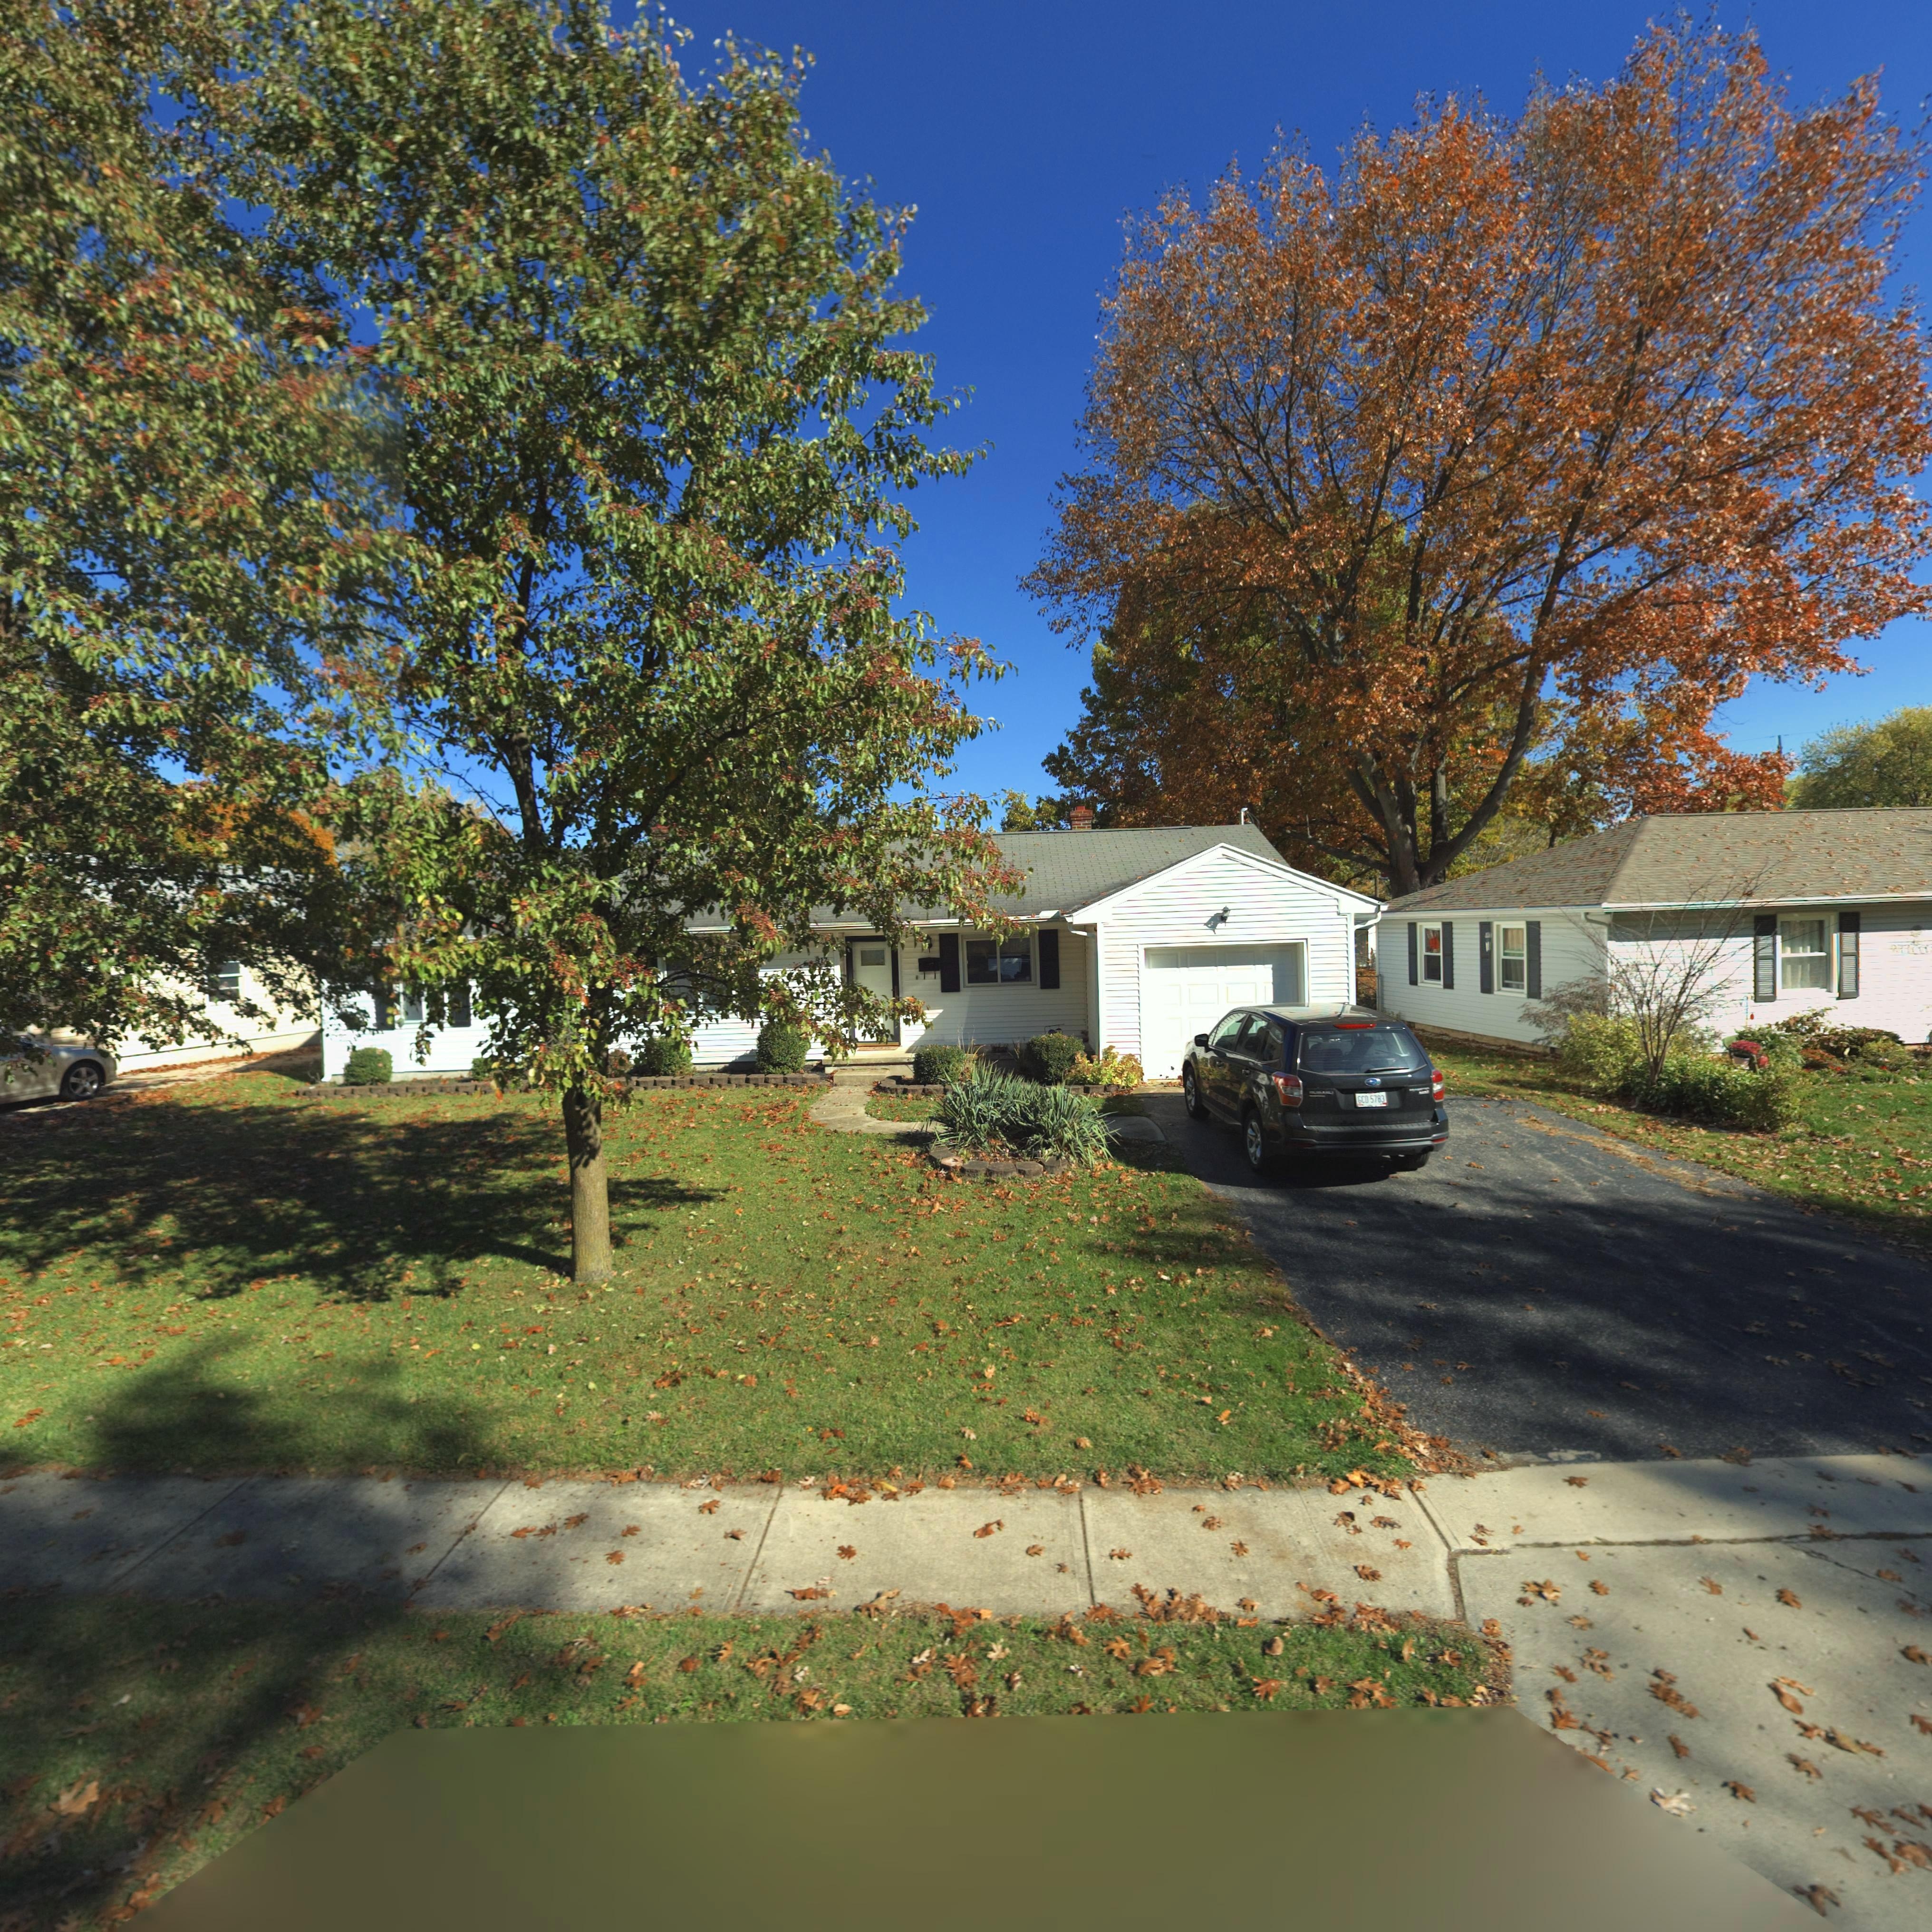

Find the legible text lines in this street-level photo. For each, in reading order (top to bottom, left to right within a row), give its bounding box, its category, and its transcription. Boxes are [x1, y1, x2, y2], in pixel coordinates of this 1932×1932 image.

[820, 957, 828, 964] StreetNumber: 17
[1357, 1094, 1386, 1104] None: GCD*5783